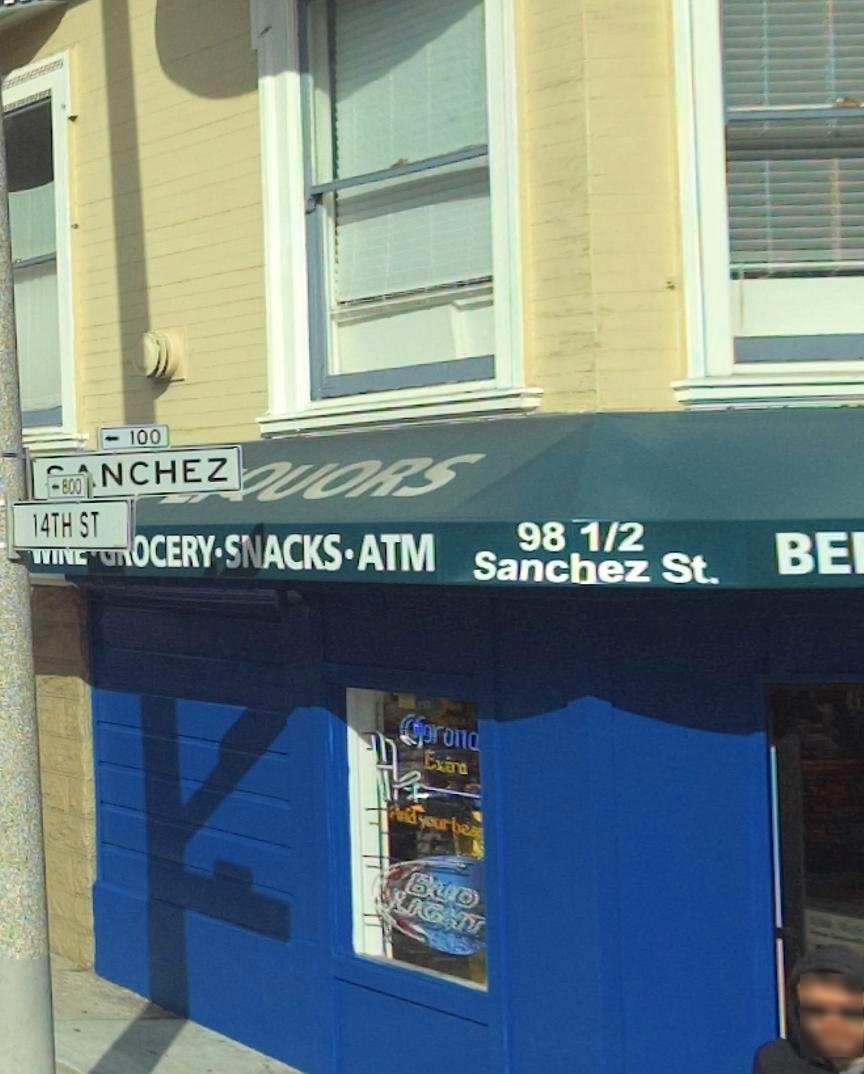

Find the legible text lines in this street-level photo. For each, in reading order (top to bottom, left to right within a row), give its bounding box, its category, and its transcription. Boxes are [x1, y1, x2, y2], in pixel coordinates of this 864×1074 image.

[102, 429, 166, 446] StreetNumberRange: <- 100
[50, 477, 85, 496] StreetNumberRange: <- 800
[97, 454, 230, 488] StreetName: NCHEZ
[245, 451, 494, 504] None: UORS
[30, 510, 102, 540] StreetName: 14TH ST
[149, 532, 217, 571] None: CERY
[222, 532, 344, 573] None: SNACKS
[356, 531, 436, 573] None: ATM
[514, 518, 651, 554] StreetNumber: 98 1/2
[468, 548, 722, 590] StreetName: Sanchez St.
[772, 522, 861, 578] None: BE*
[403, 870, 487, 914] None: BUD
[390, 888, 489, 940] None: LIGHT